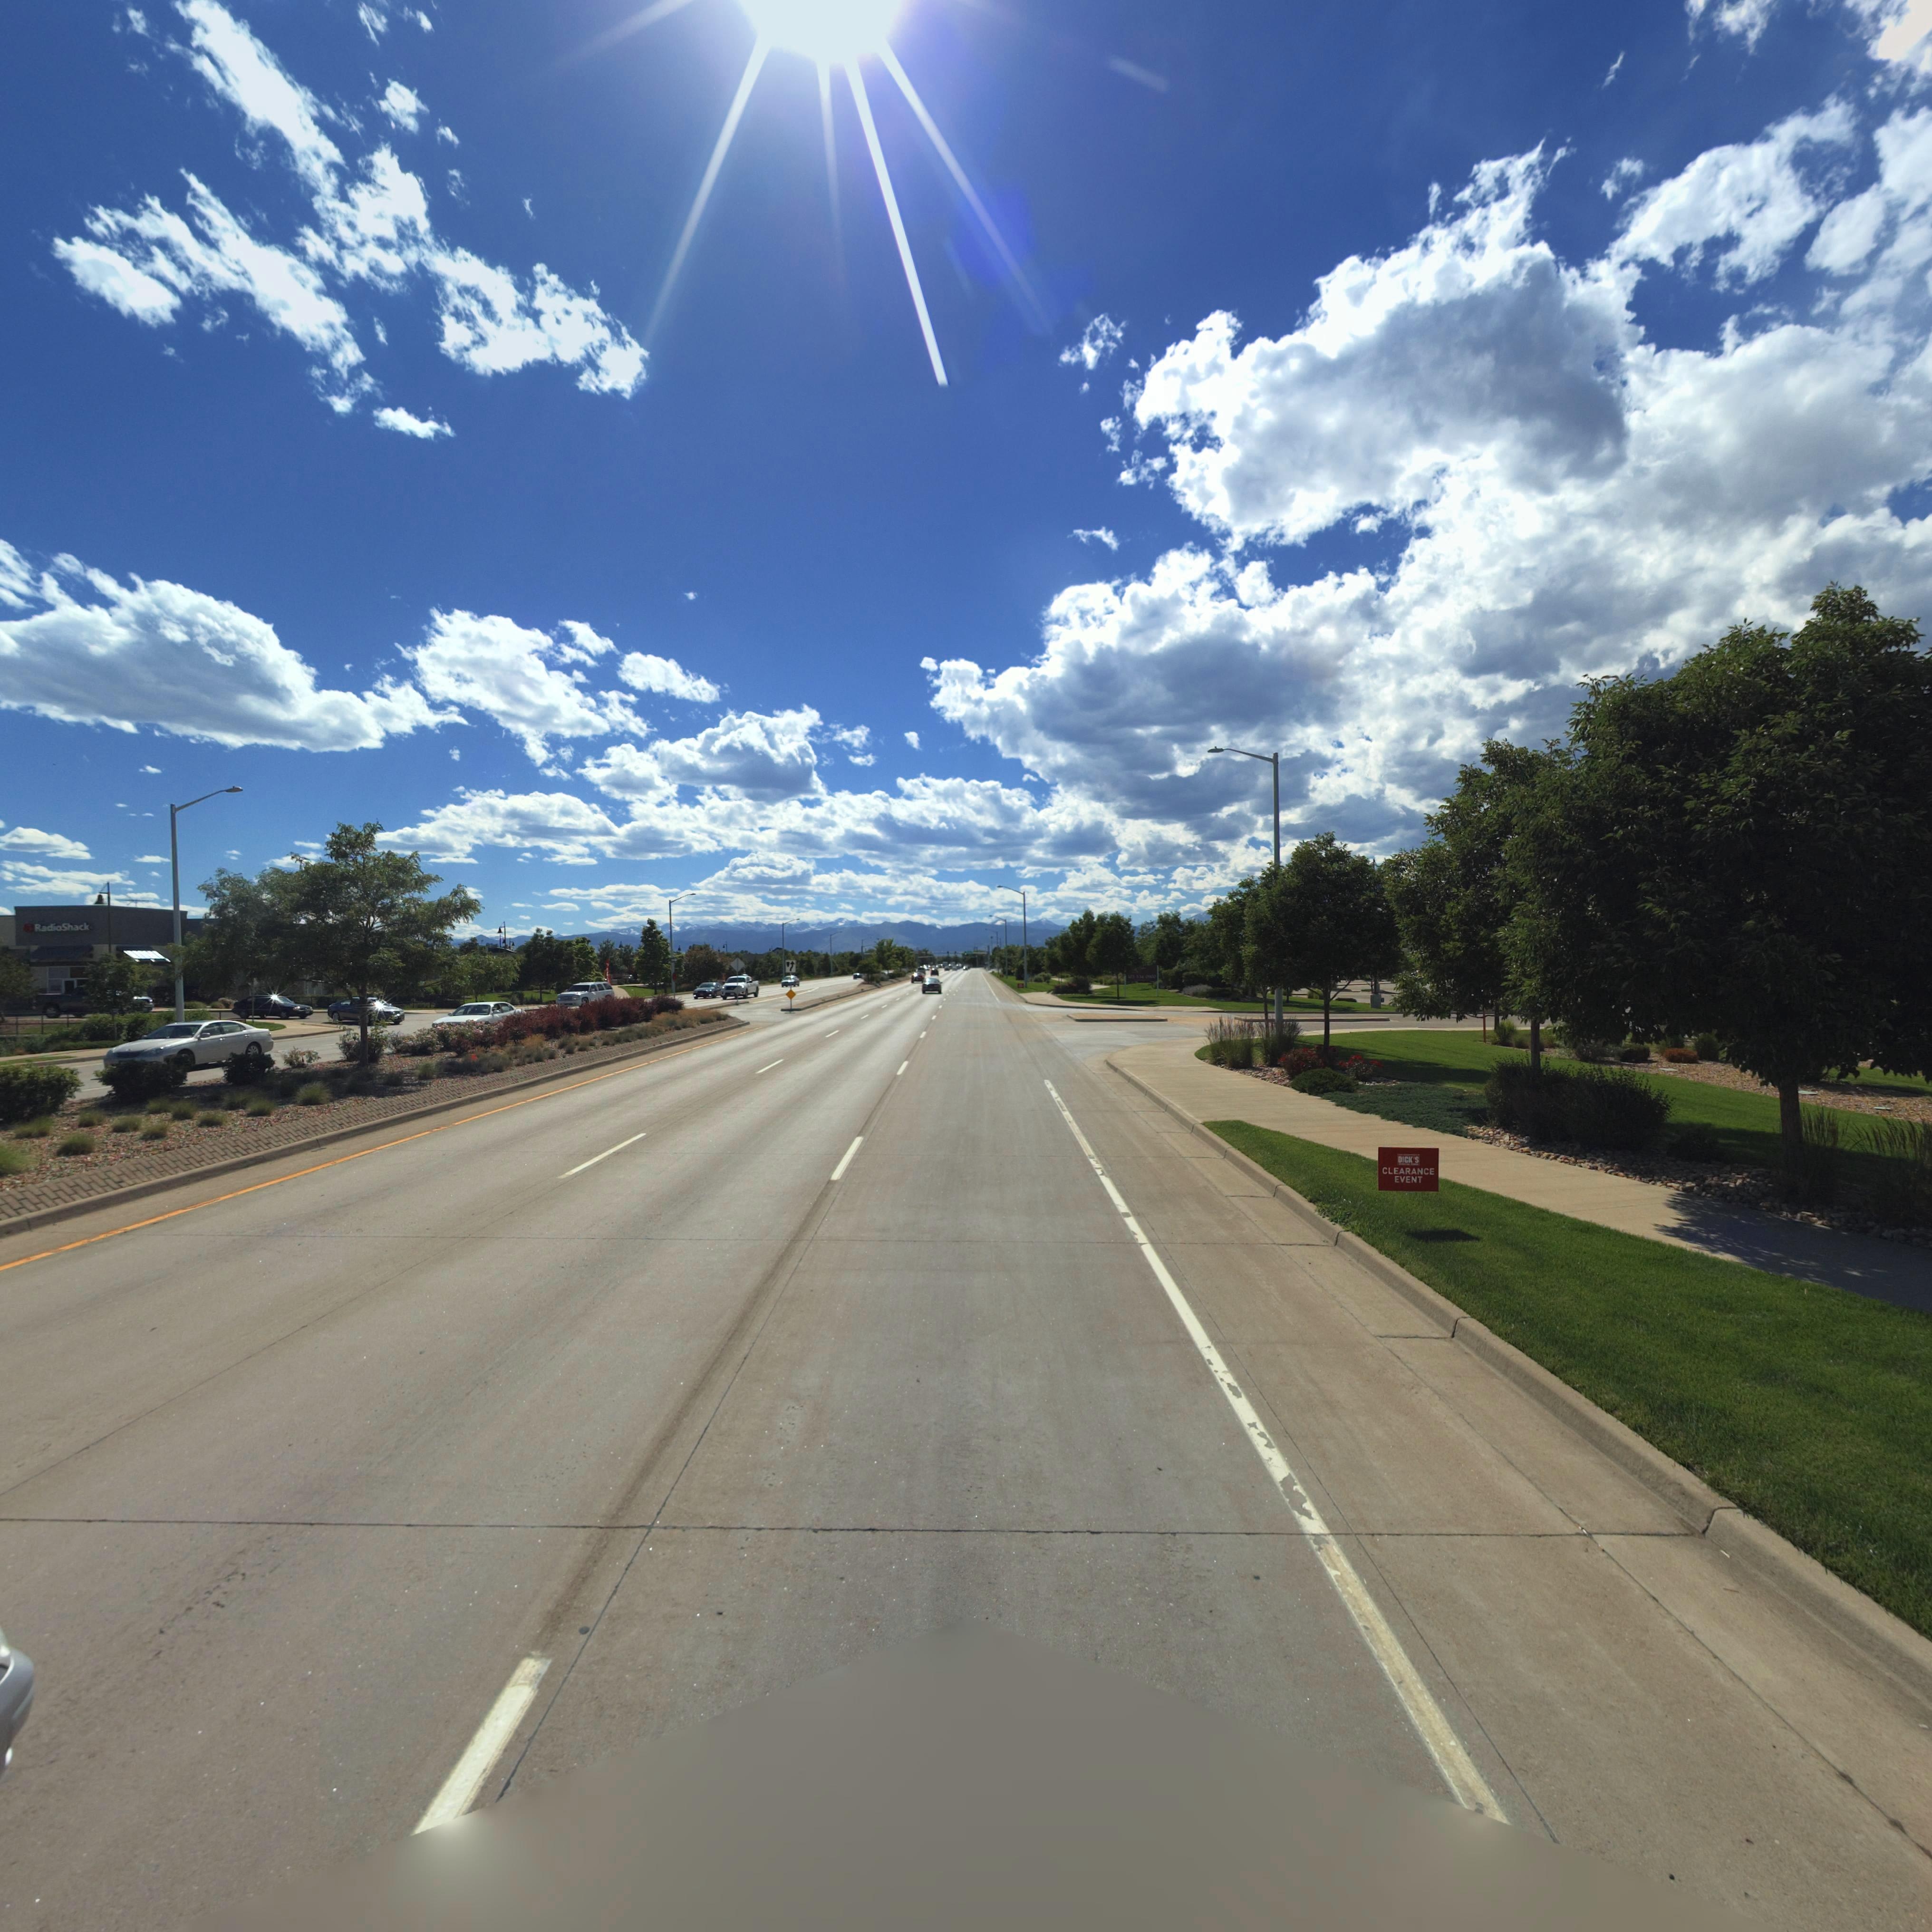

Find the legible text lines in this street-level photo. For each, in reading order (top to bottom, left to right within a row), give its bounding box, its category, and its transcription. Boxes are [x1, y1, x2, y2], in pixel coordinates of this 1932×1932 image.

[34, 922, 89, 932] BusinessName: RadioShack
[1398, 1155, 1419, 1163] BusinessName: DICK*S